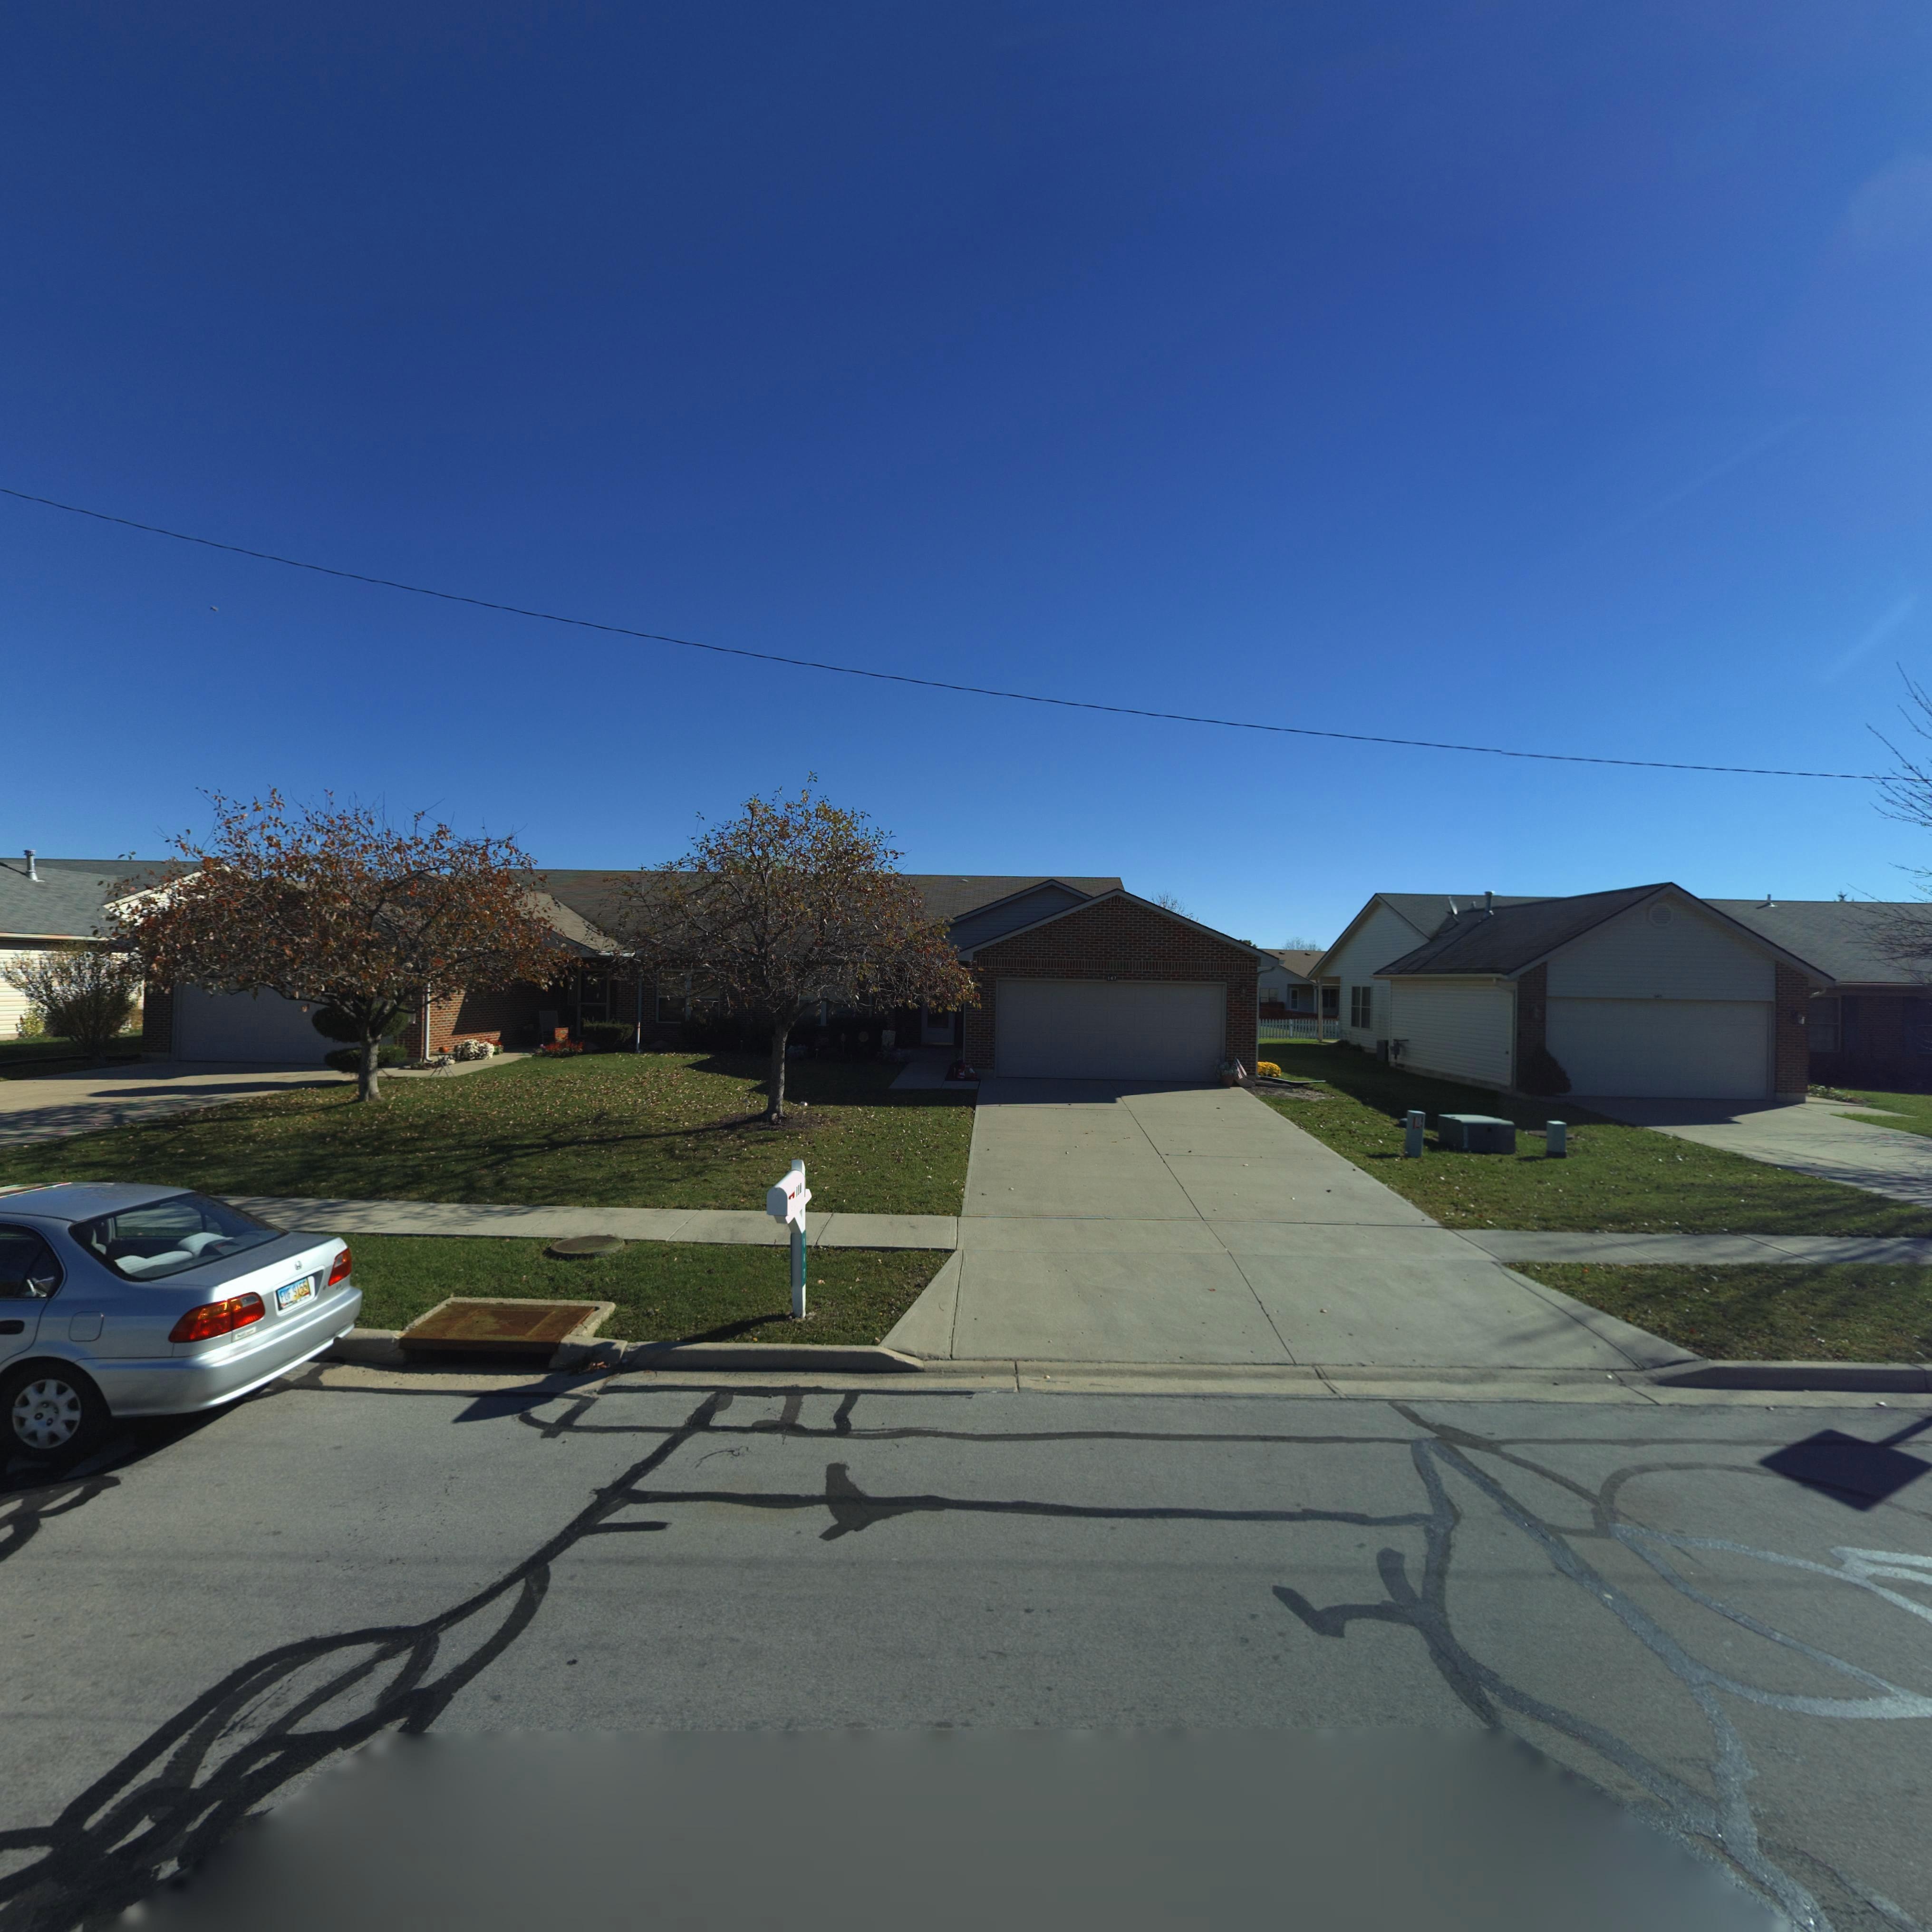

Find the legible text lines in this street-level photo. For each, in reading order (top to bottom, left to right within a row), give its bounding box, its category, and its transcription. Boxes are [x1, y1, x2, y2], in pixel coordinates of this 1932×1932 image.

[1107, 976, 1117, 981] StreetNumber: 147
[802, 1236, 806, 1280] StreetNumber: 147
[279, 1278, 308, 1304] None: F*F 9155